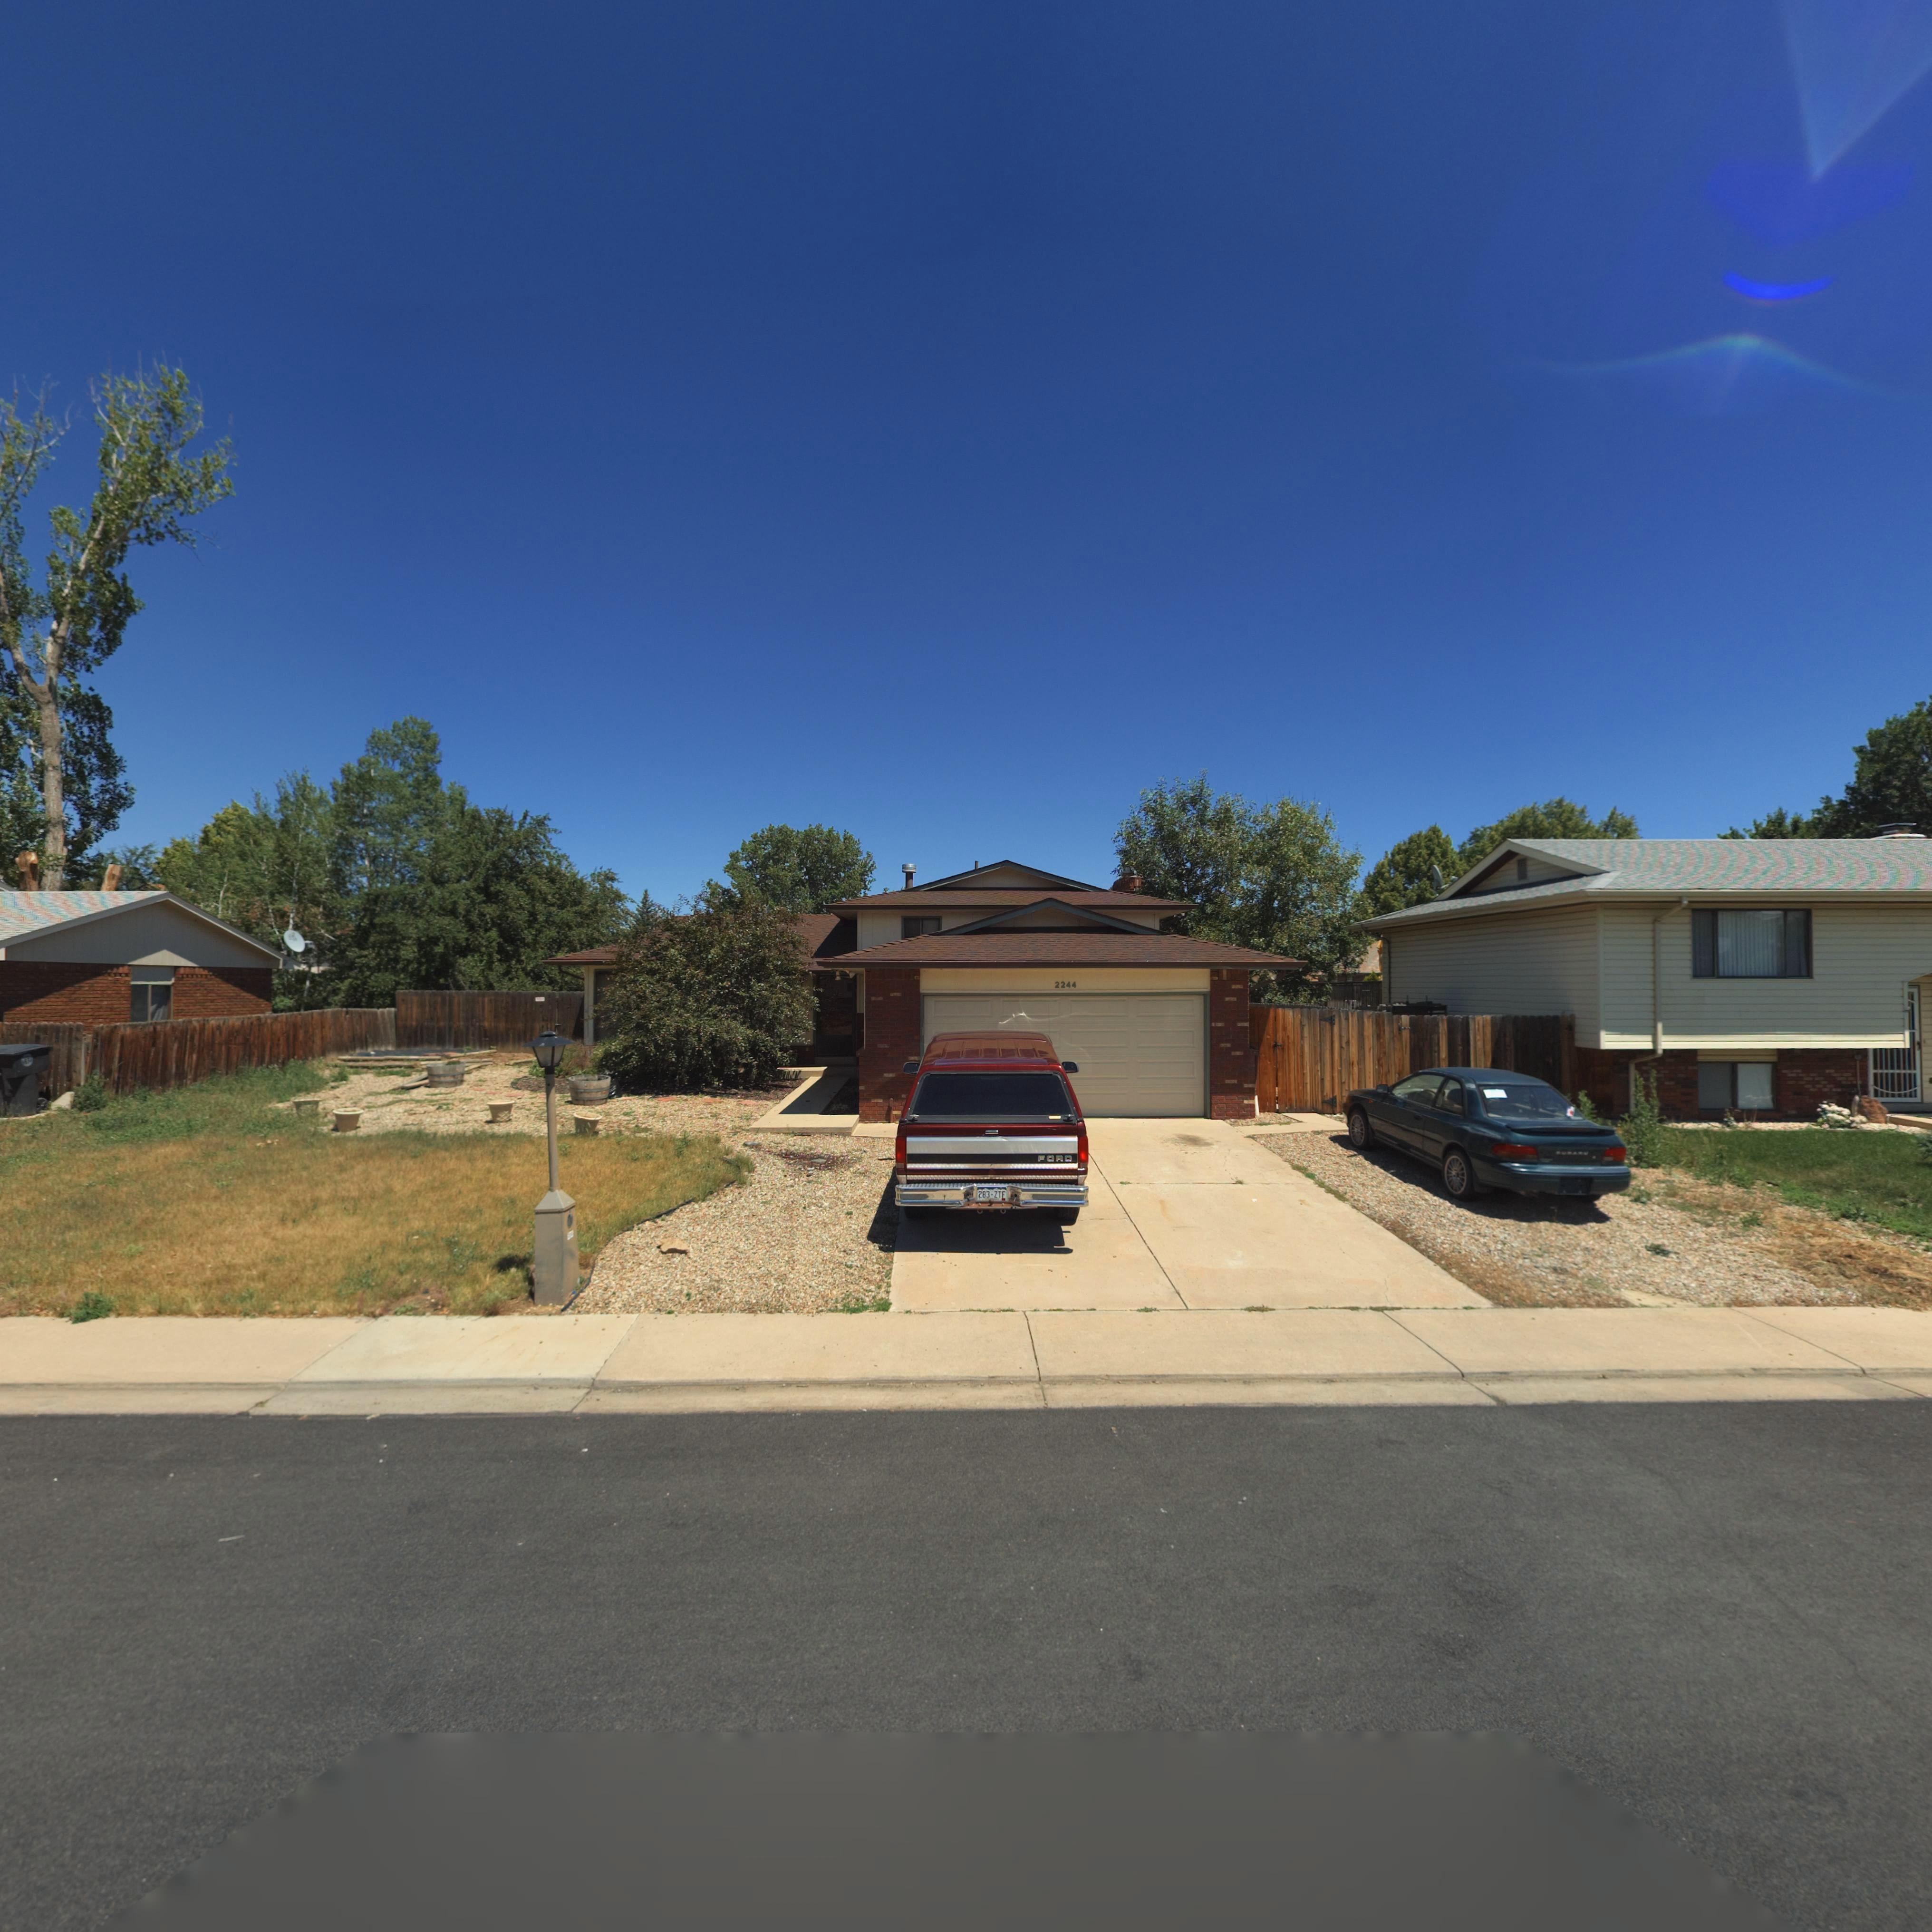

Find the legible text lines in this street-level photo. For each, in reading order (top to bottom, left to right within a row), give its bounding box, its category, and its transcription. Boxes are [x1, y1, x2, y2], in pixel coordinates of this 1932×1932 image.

[1054, 981, 1076, 988] StreetNumber: 2244